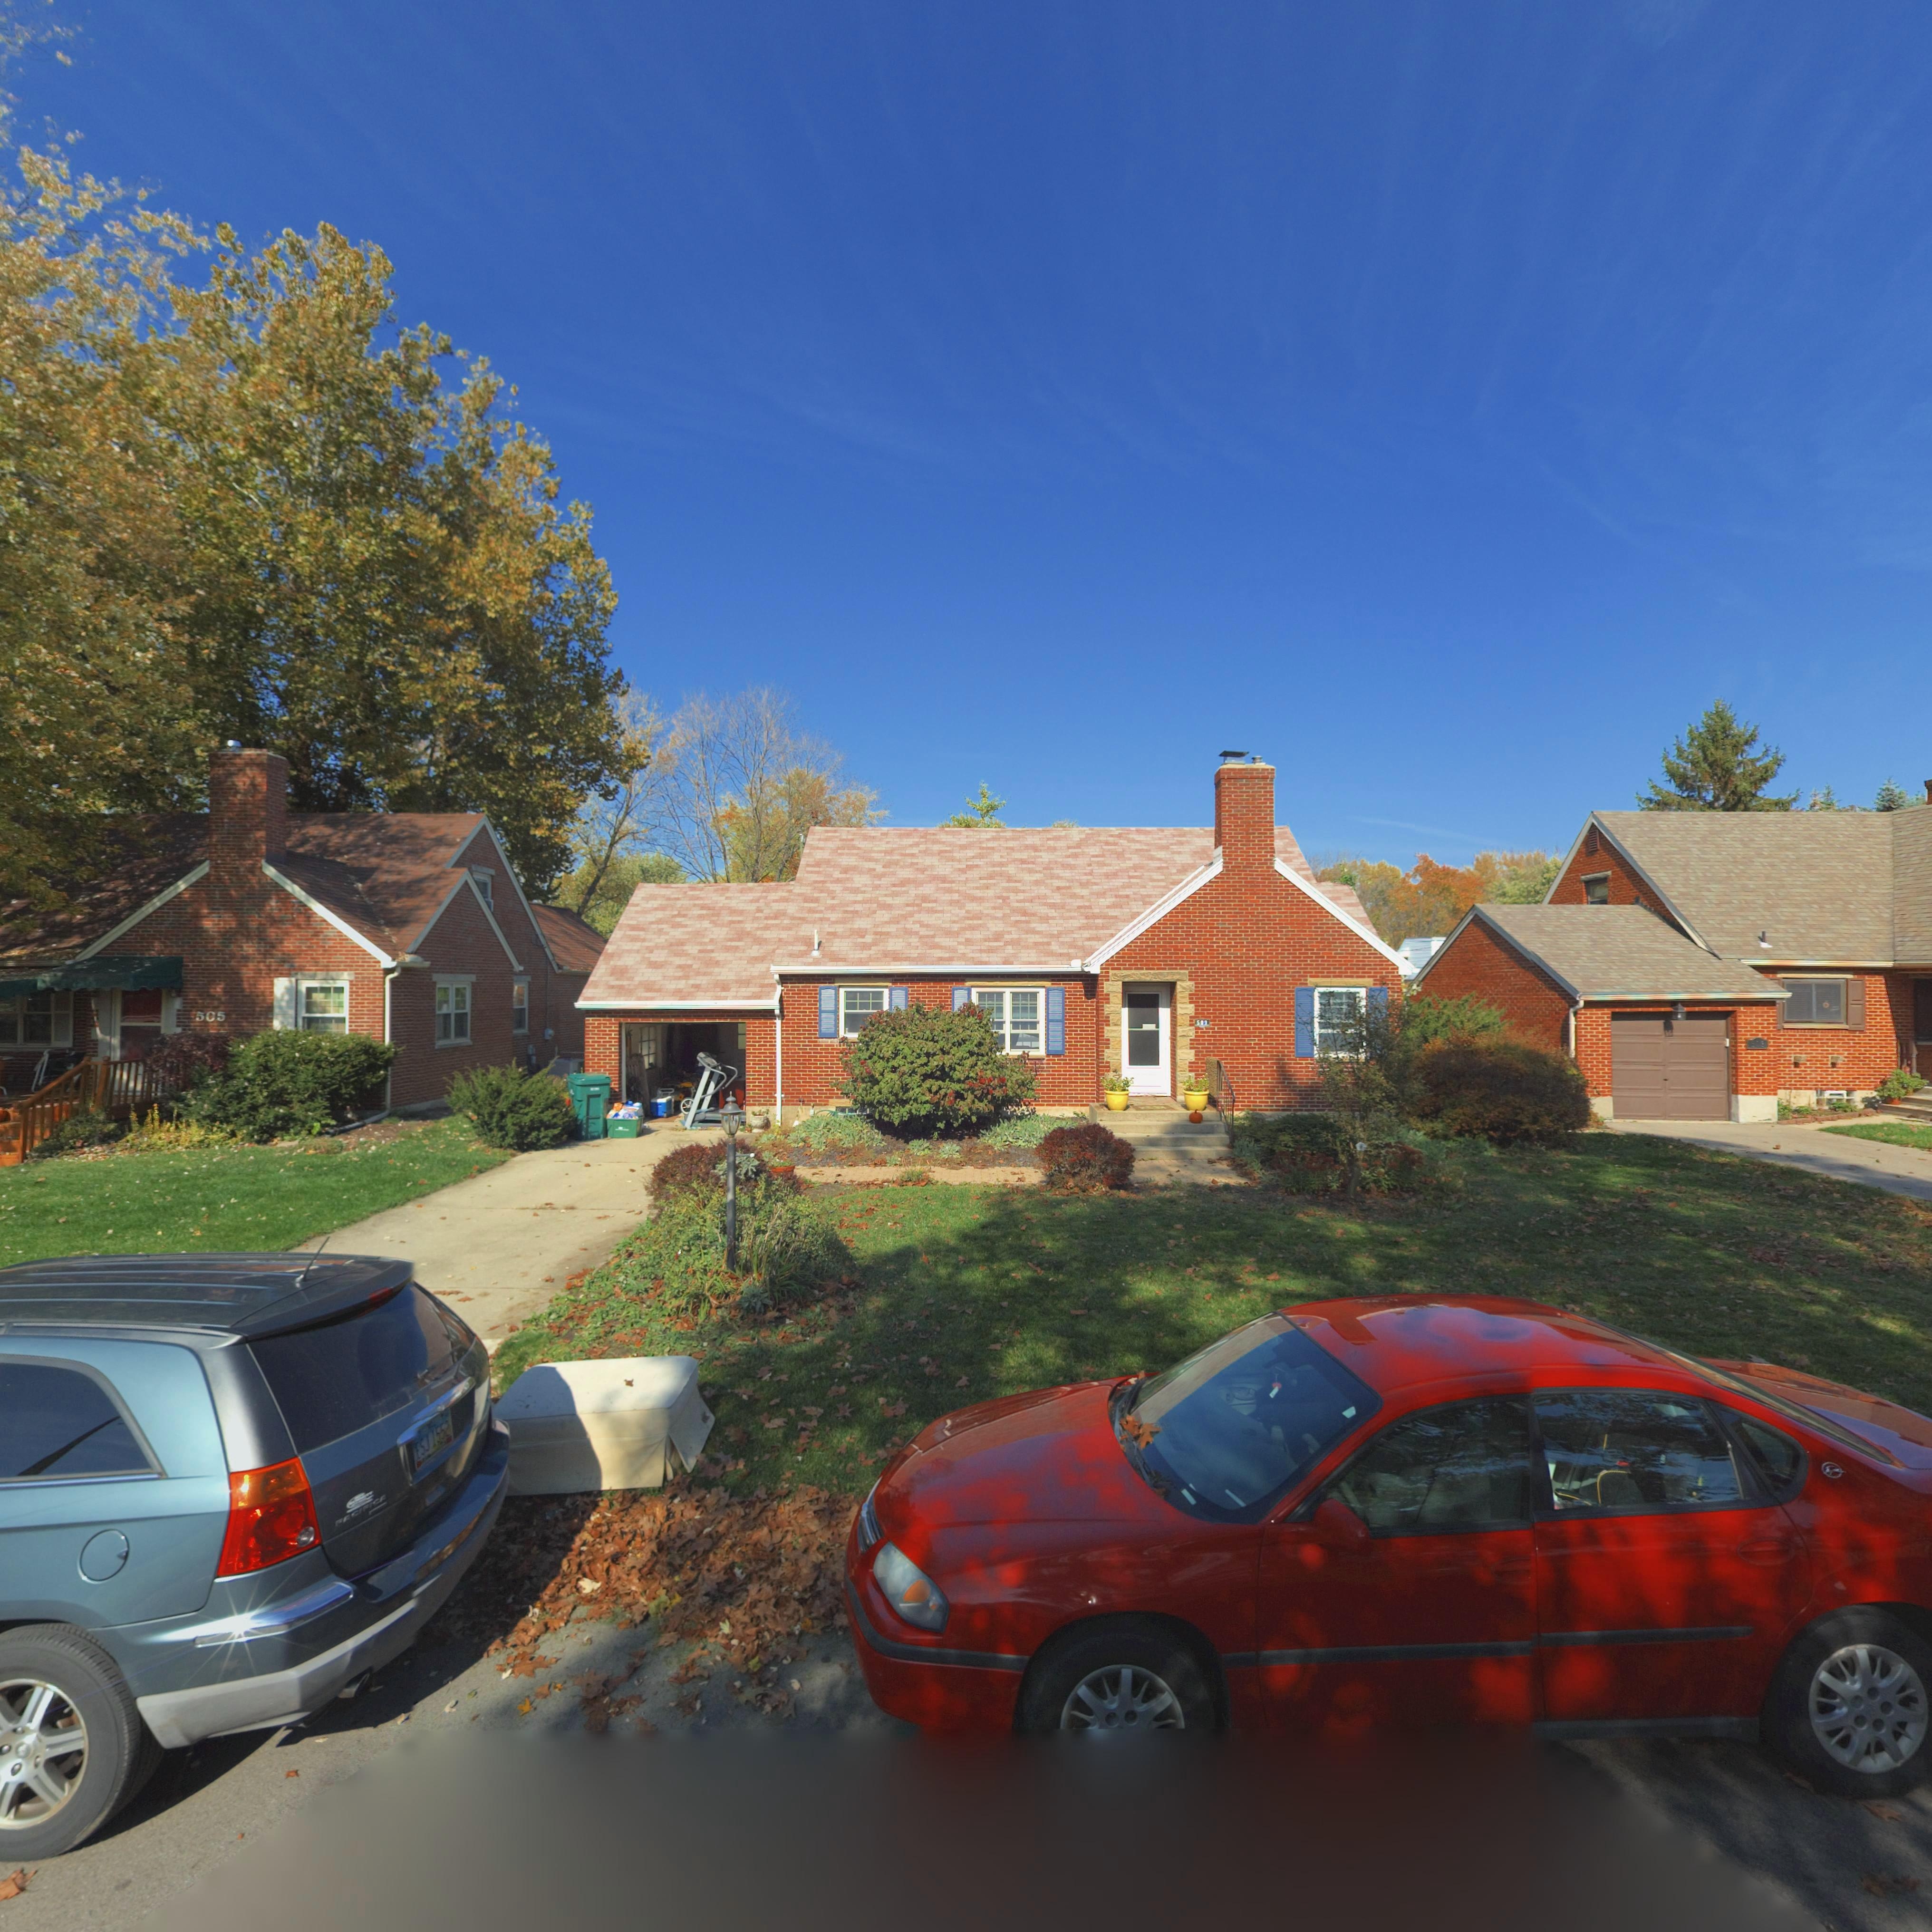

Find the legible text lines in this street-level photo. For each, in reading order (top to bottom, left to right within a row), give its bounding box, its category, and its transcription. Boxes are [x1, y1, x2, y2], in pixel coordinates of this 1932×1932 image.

[195, 1011, 226, 1022] StreetNumber: 505
[1196, 1020, 1208, 1025] StreetNumber: 509
[1750, 1041, 1766, 1048] StreetNumber: 51*